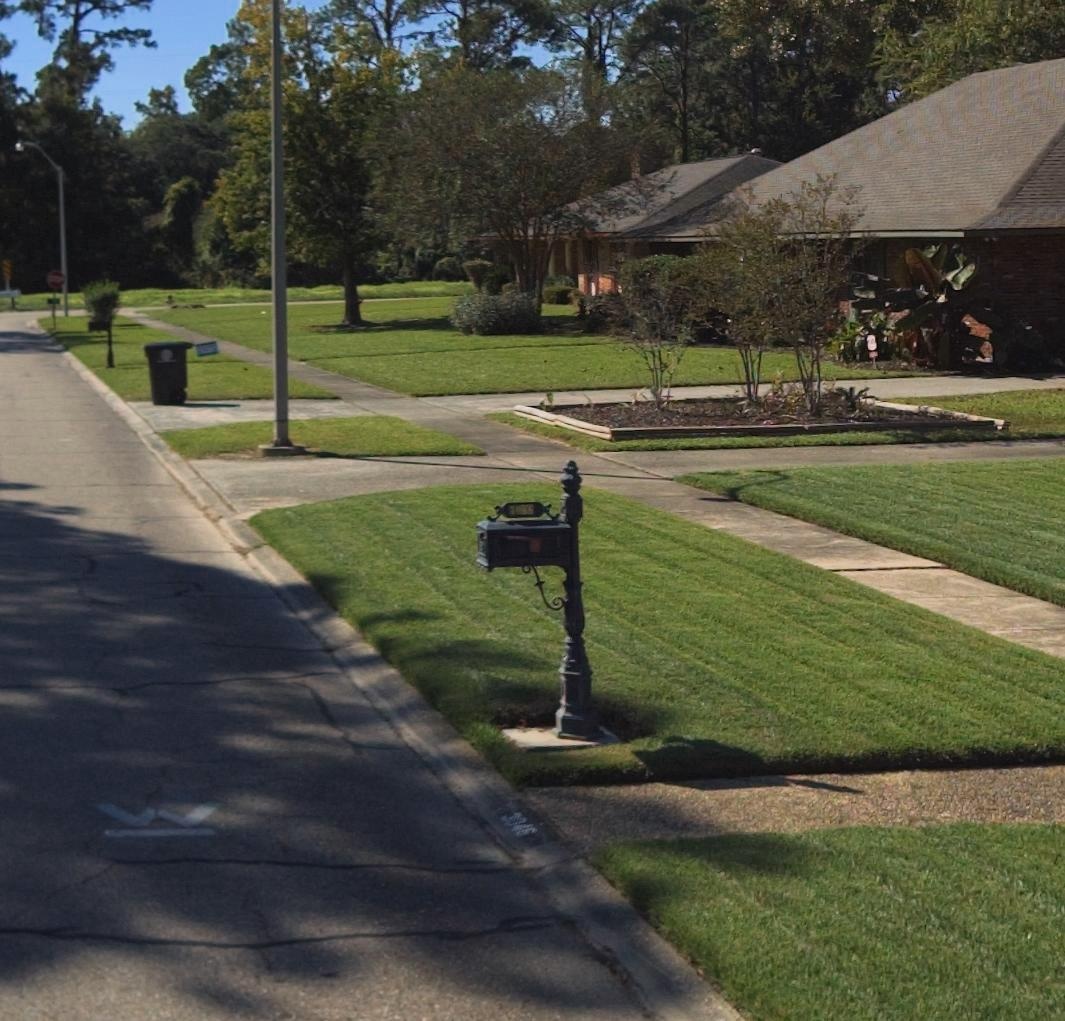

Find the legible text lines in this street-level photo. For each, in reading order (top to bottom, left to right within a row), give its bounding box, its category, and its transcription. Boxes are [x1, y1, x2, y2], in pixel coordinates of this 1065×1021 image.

[507, 504, 516, 517] StreetNumber: 3
[90, 796, 228, 835] None: W